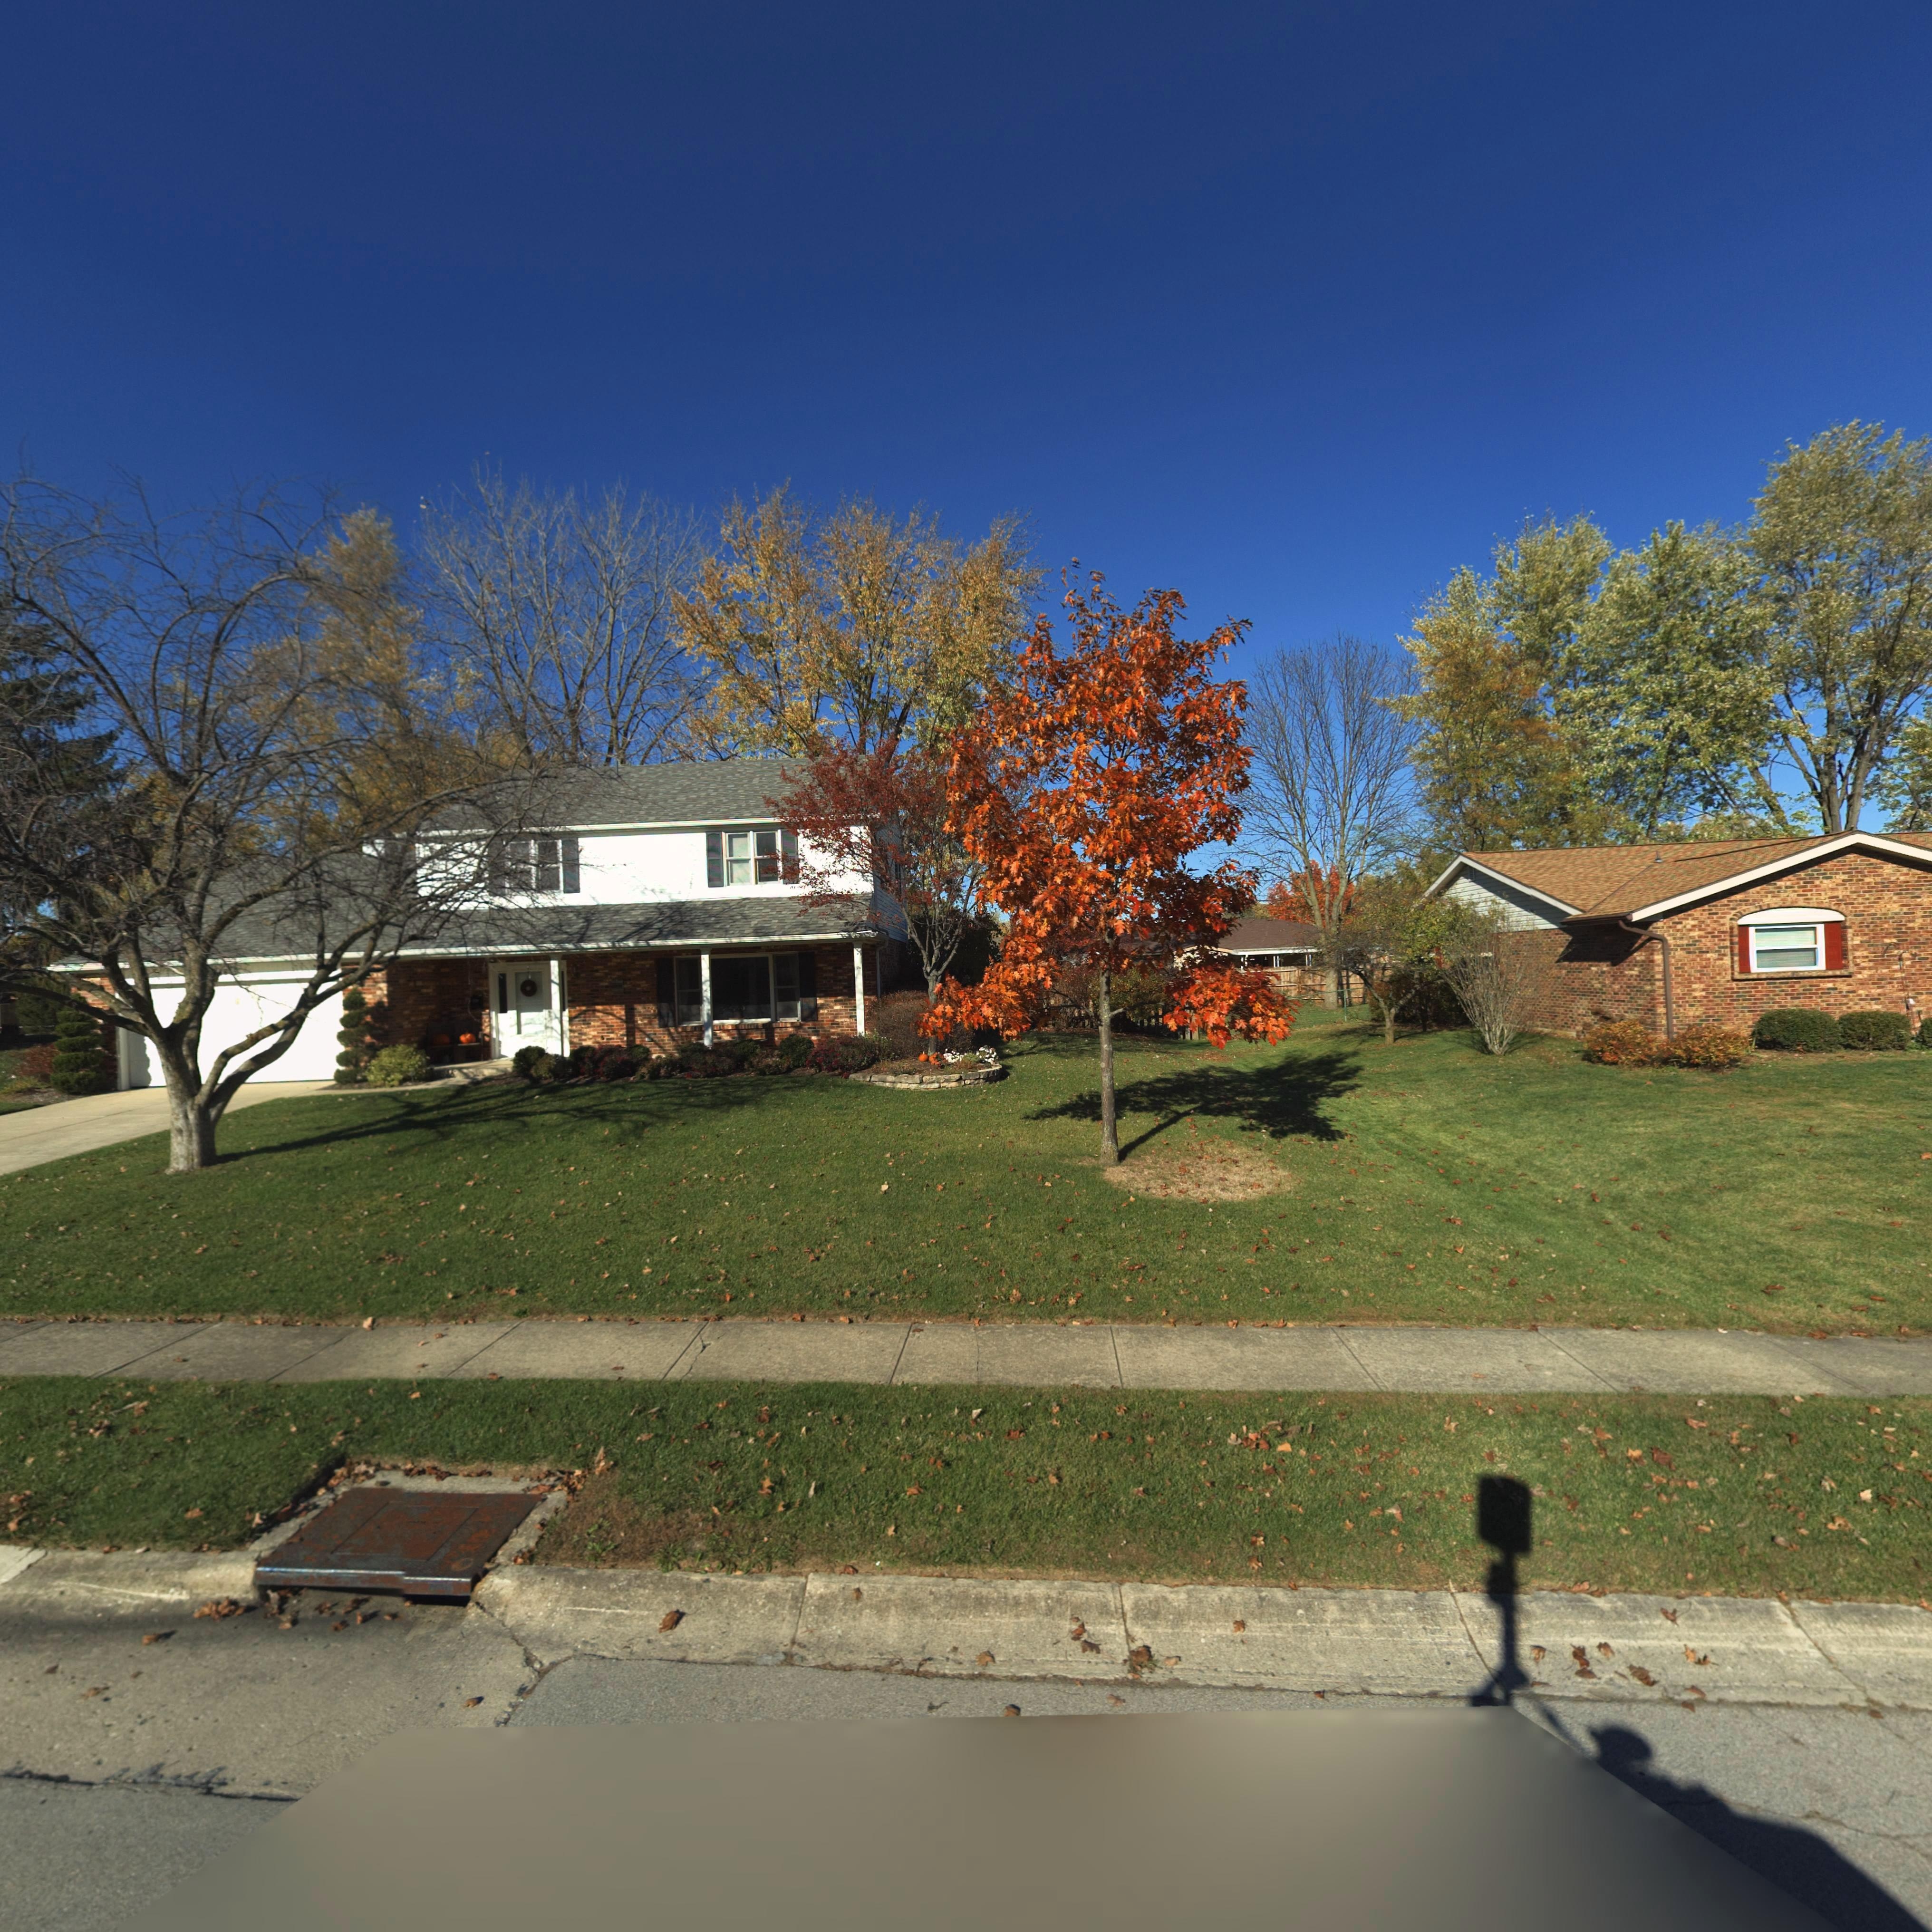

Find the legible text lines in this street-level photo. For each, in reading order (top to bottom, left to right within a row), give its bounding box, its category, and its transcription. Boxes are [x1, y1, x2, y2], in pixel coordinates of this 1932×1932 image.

[223, 968, 228, 975] StreetNumber: 6